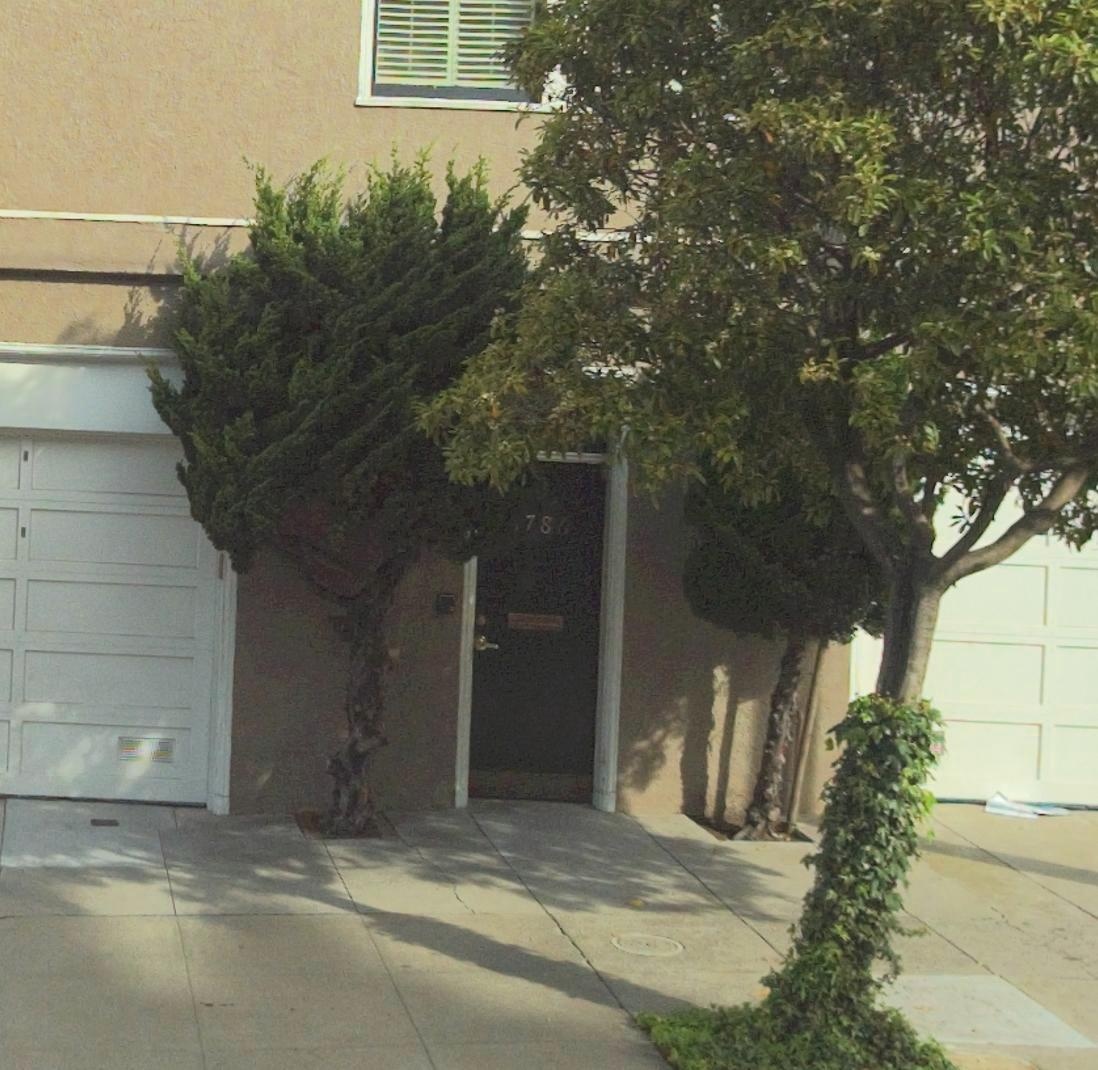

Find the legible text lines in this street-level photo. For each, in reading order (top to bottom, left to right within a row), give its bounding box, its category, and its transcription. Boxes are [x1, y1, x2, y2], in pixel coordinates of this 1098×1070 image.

[504, 511, 572, 539] StreetNumber: *786